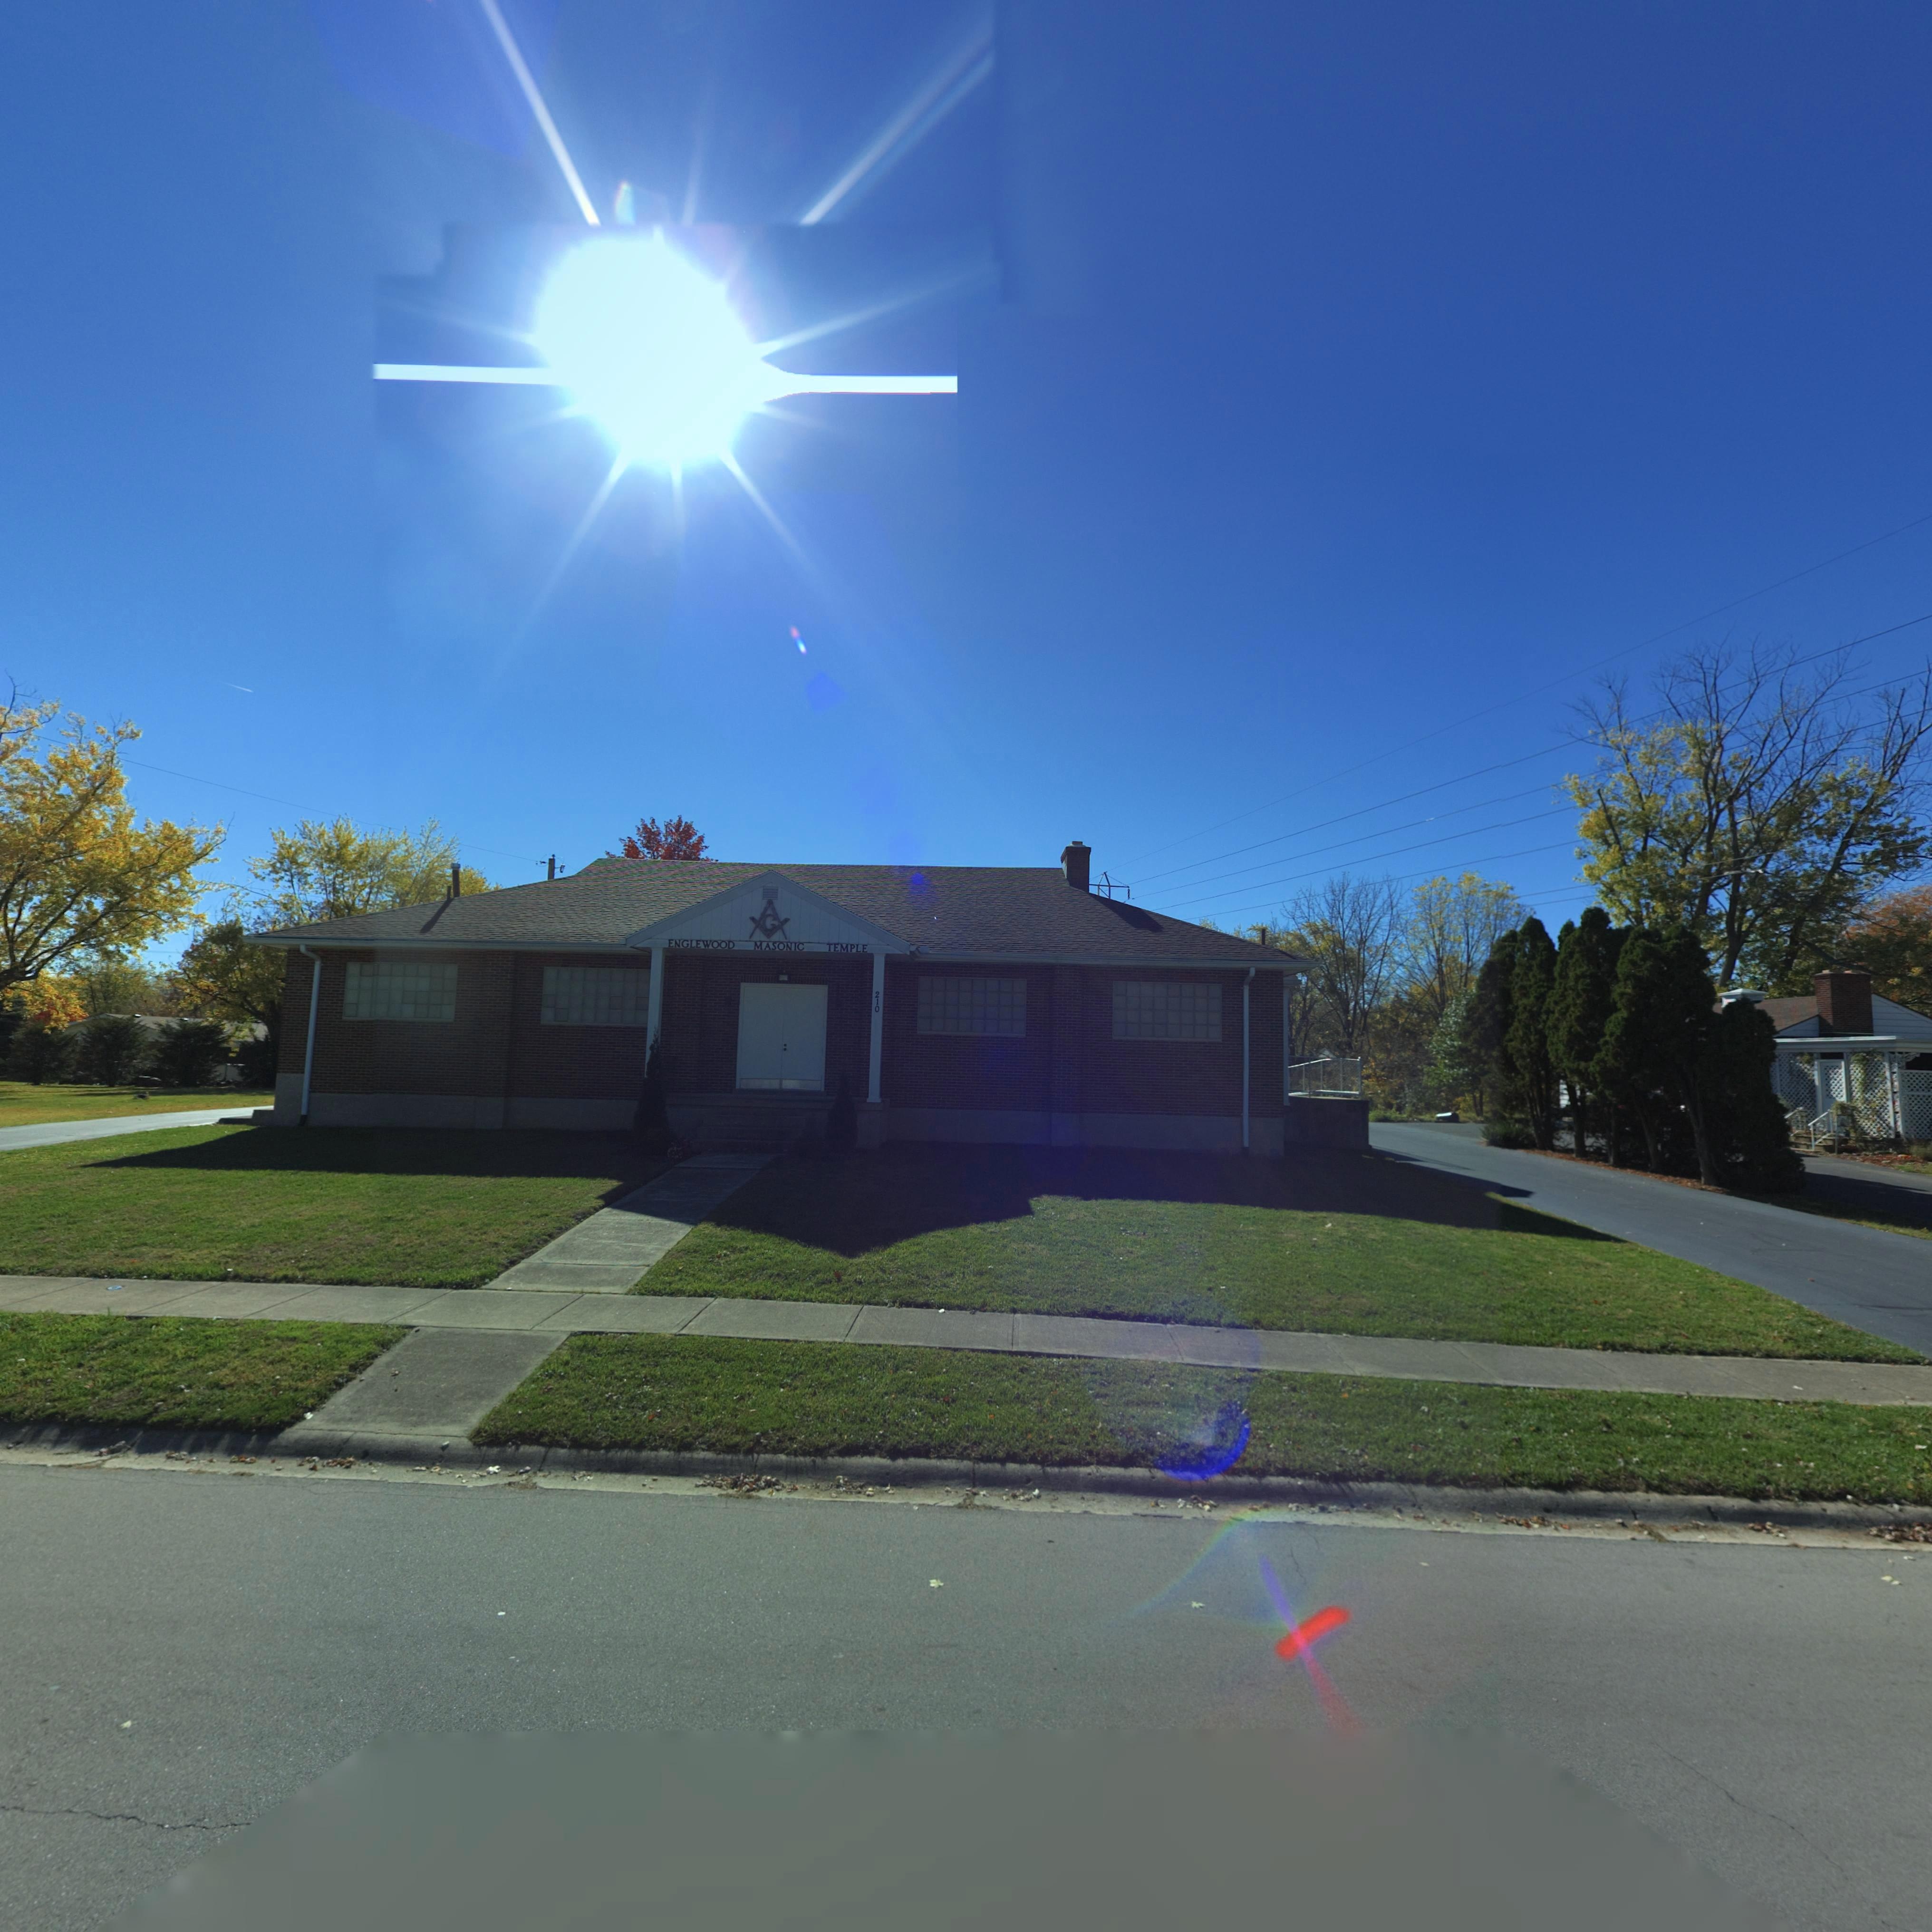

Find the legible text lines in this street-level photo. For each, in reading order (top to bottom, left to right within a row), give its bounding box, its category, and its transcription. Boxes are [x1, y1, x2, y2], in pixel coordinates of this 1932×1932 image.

[667, 938, 869, 953] BusinessName: ENGLEWOOD MASONIC TEMPLE
[874, 991, 880, 1013] StreetNumber: 210